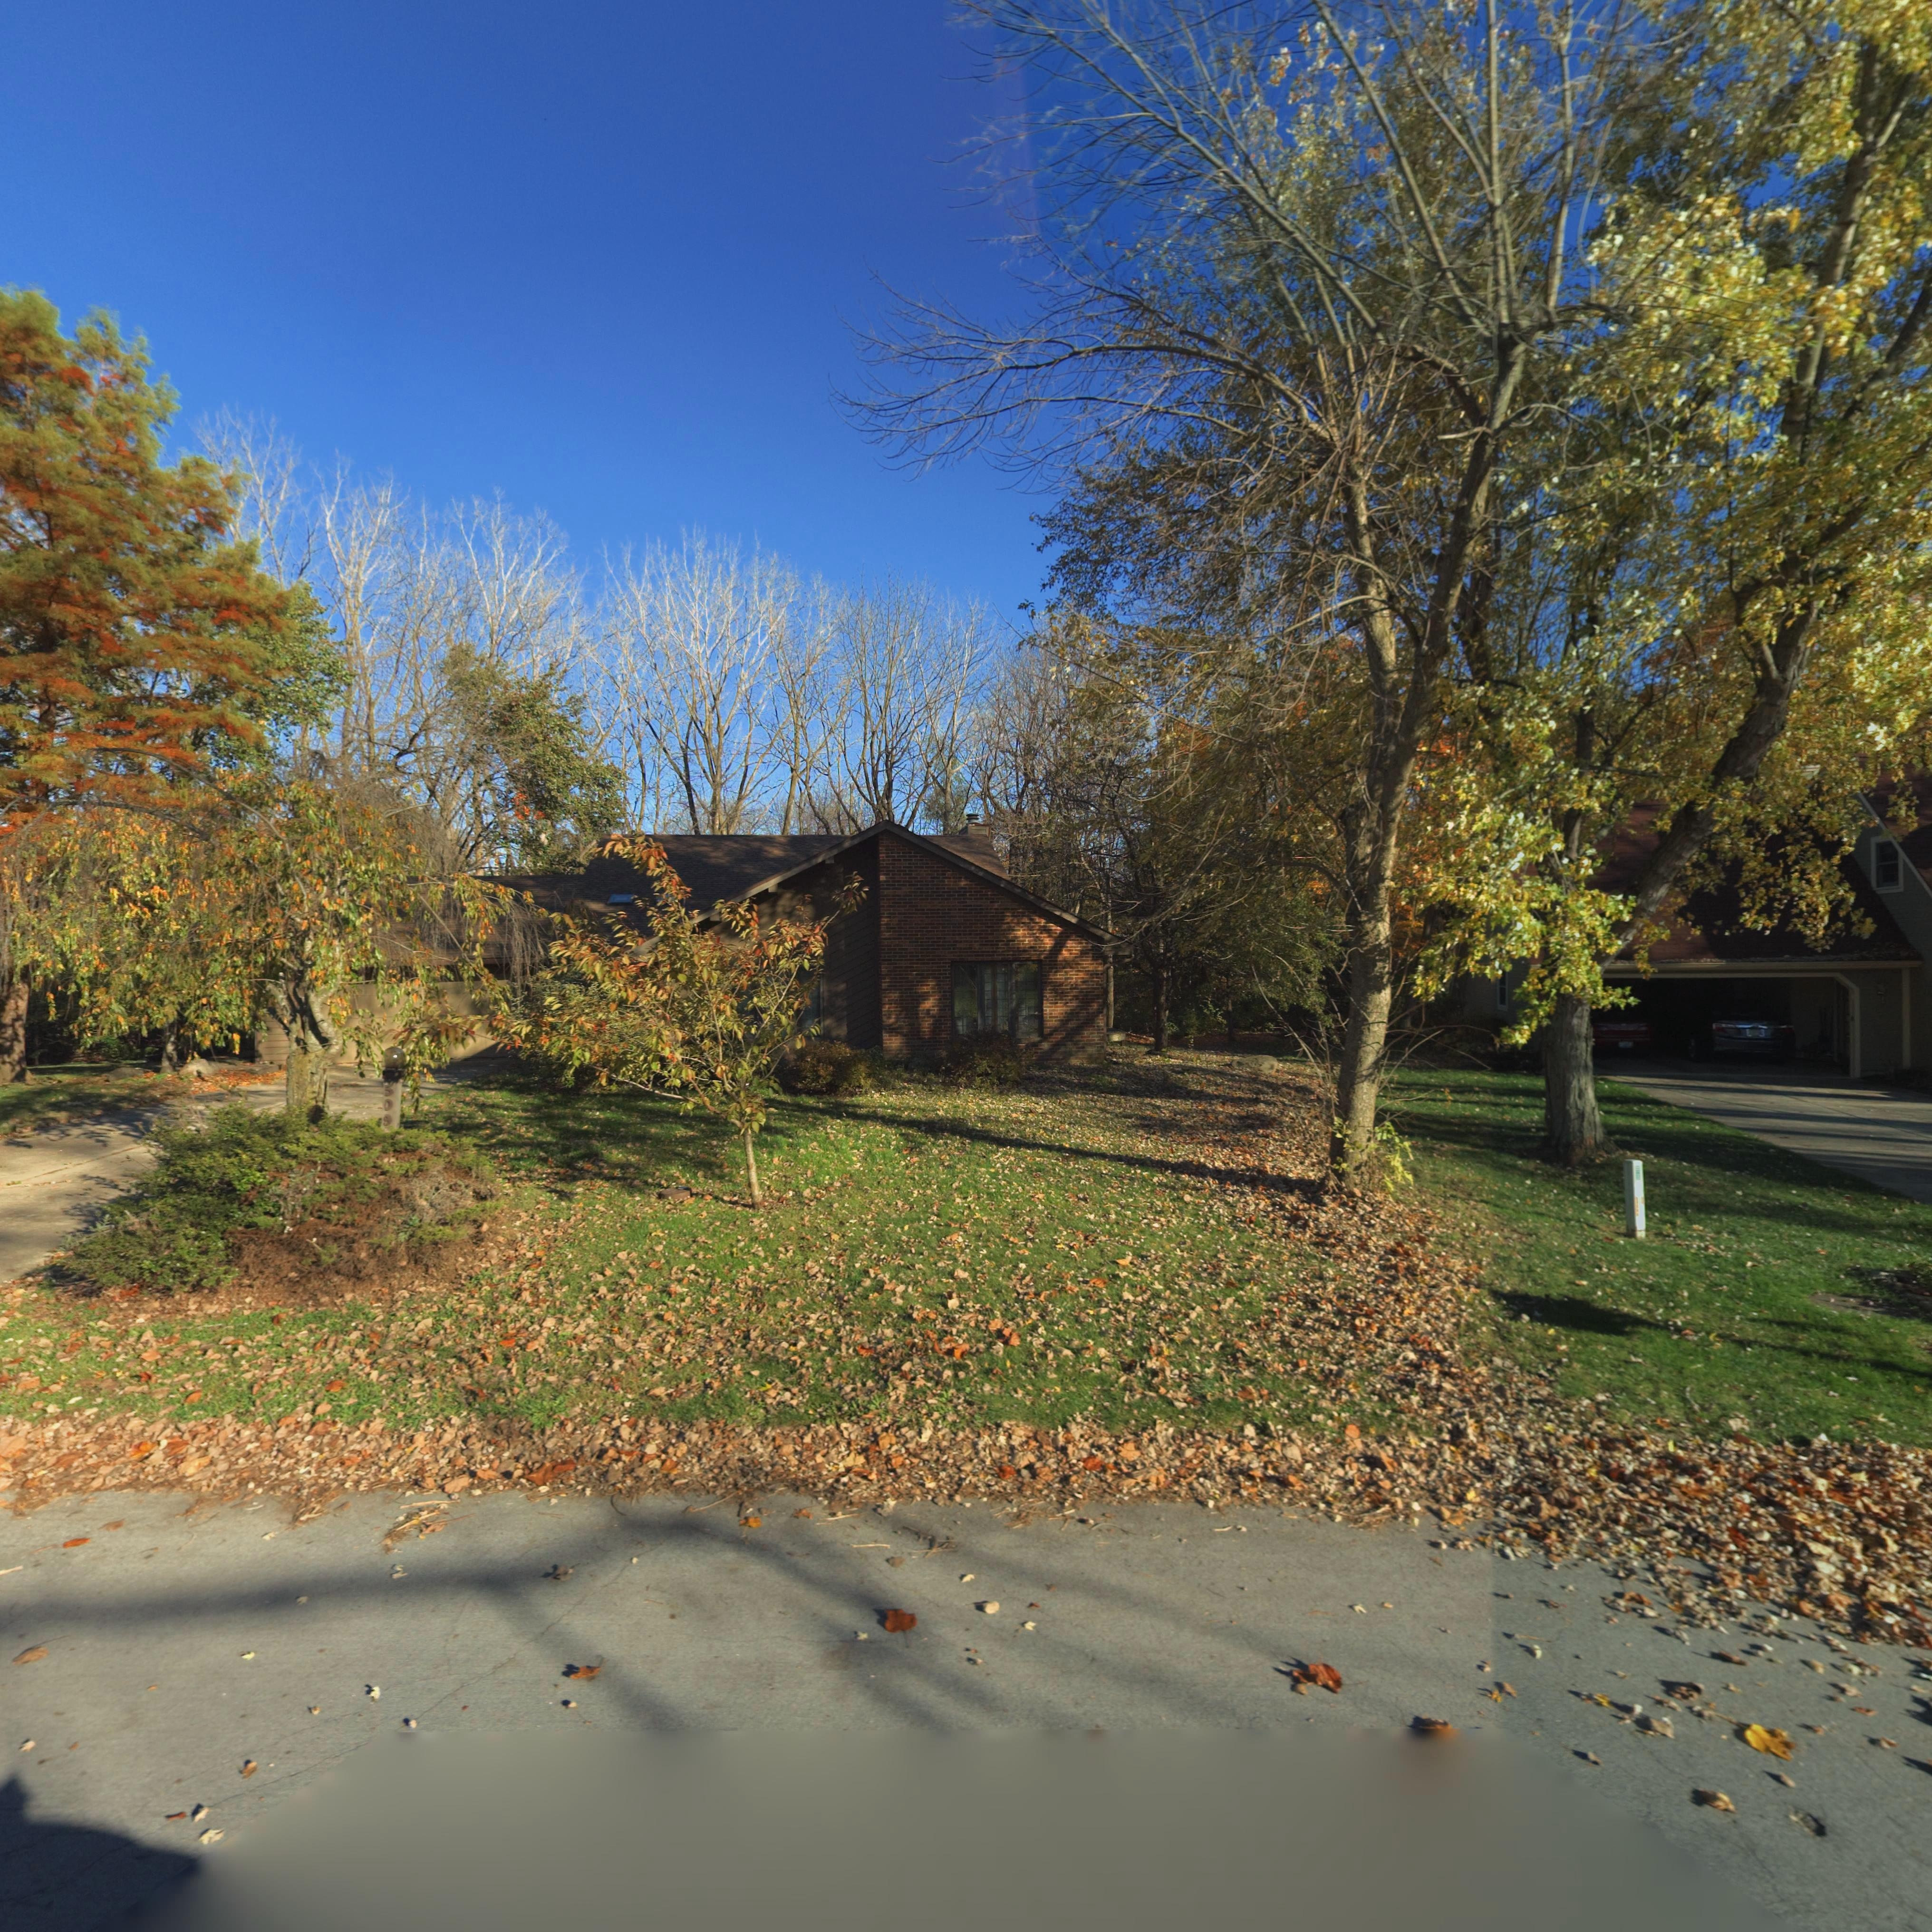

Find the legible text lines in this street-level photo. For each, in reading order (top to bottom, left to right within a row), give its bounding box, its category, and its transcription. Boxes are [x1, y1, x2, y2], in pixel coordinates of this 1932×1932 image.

[382, 1083, 395, 1127] StreetNumber: 509